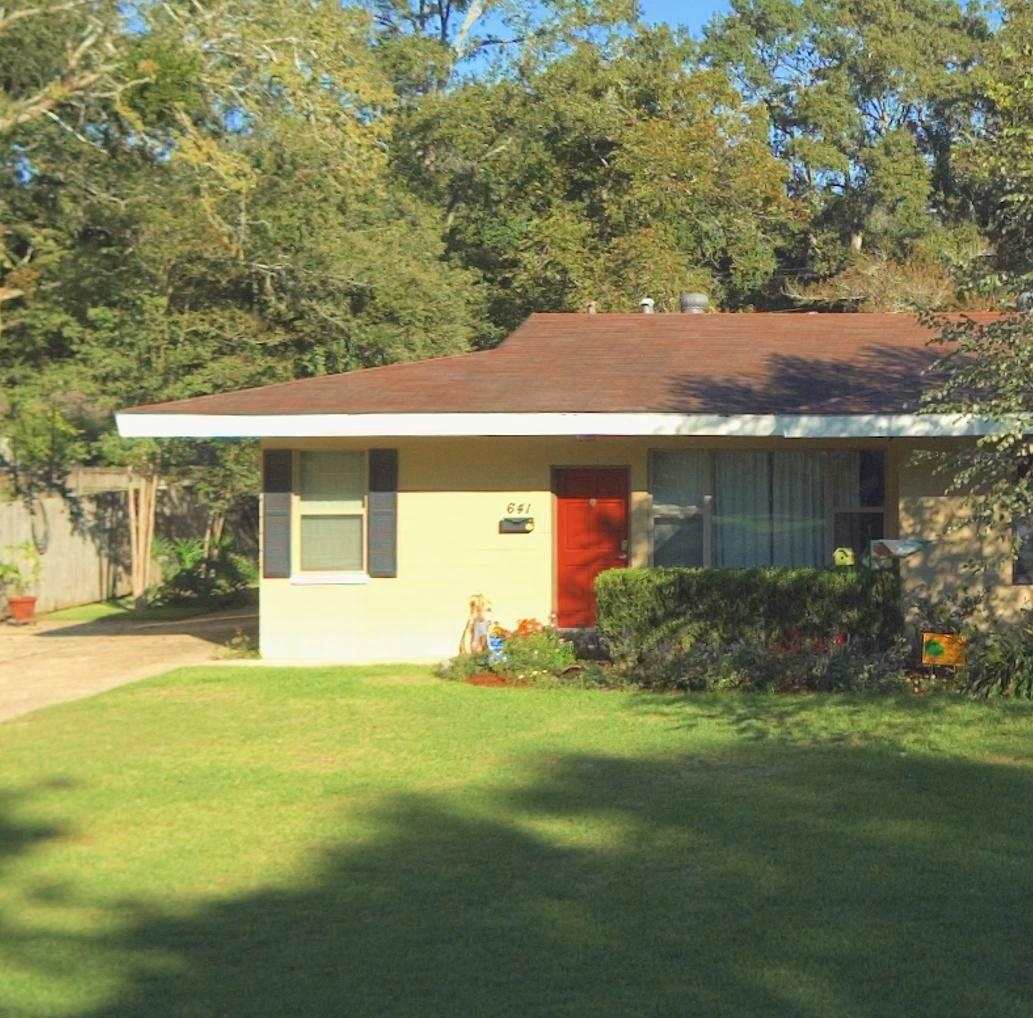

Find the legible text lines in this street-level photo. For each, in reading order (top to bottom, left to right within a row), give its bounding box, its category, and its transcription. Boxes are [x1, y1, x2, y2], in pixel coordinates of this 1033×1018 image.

[506, 502, 532, 515] StreetNumber: 641